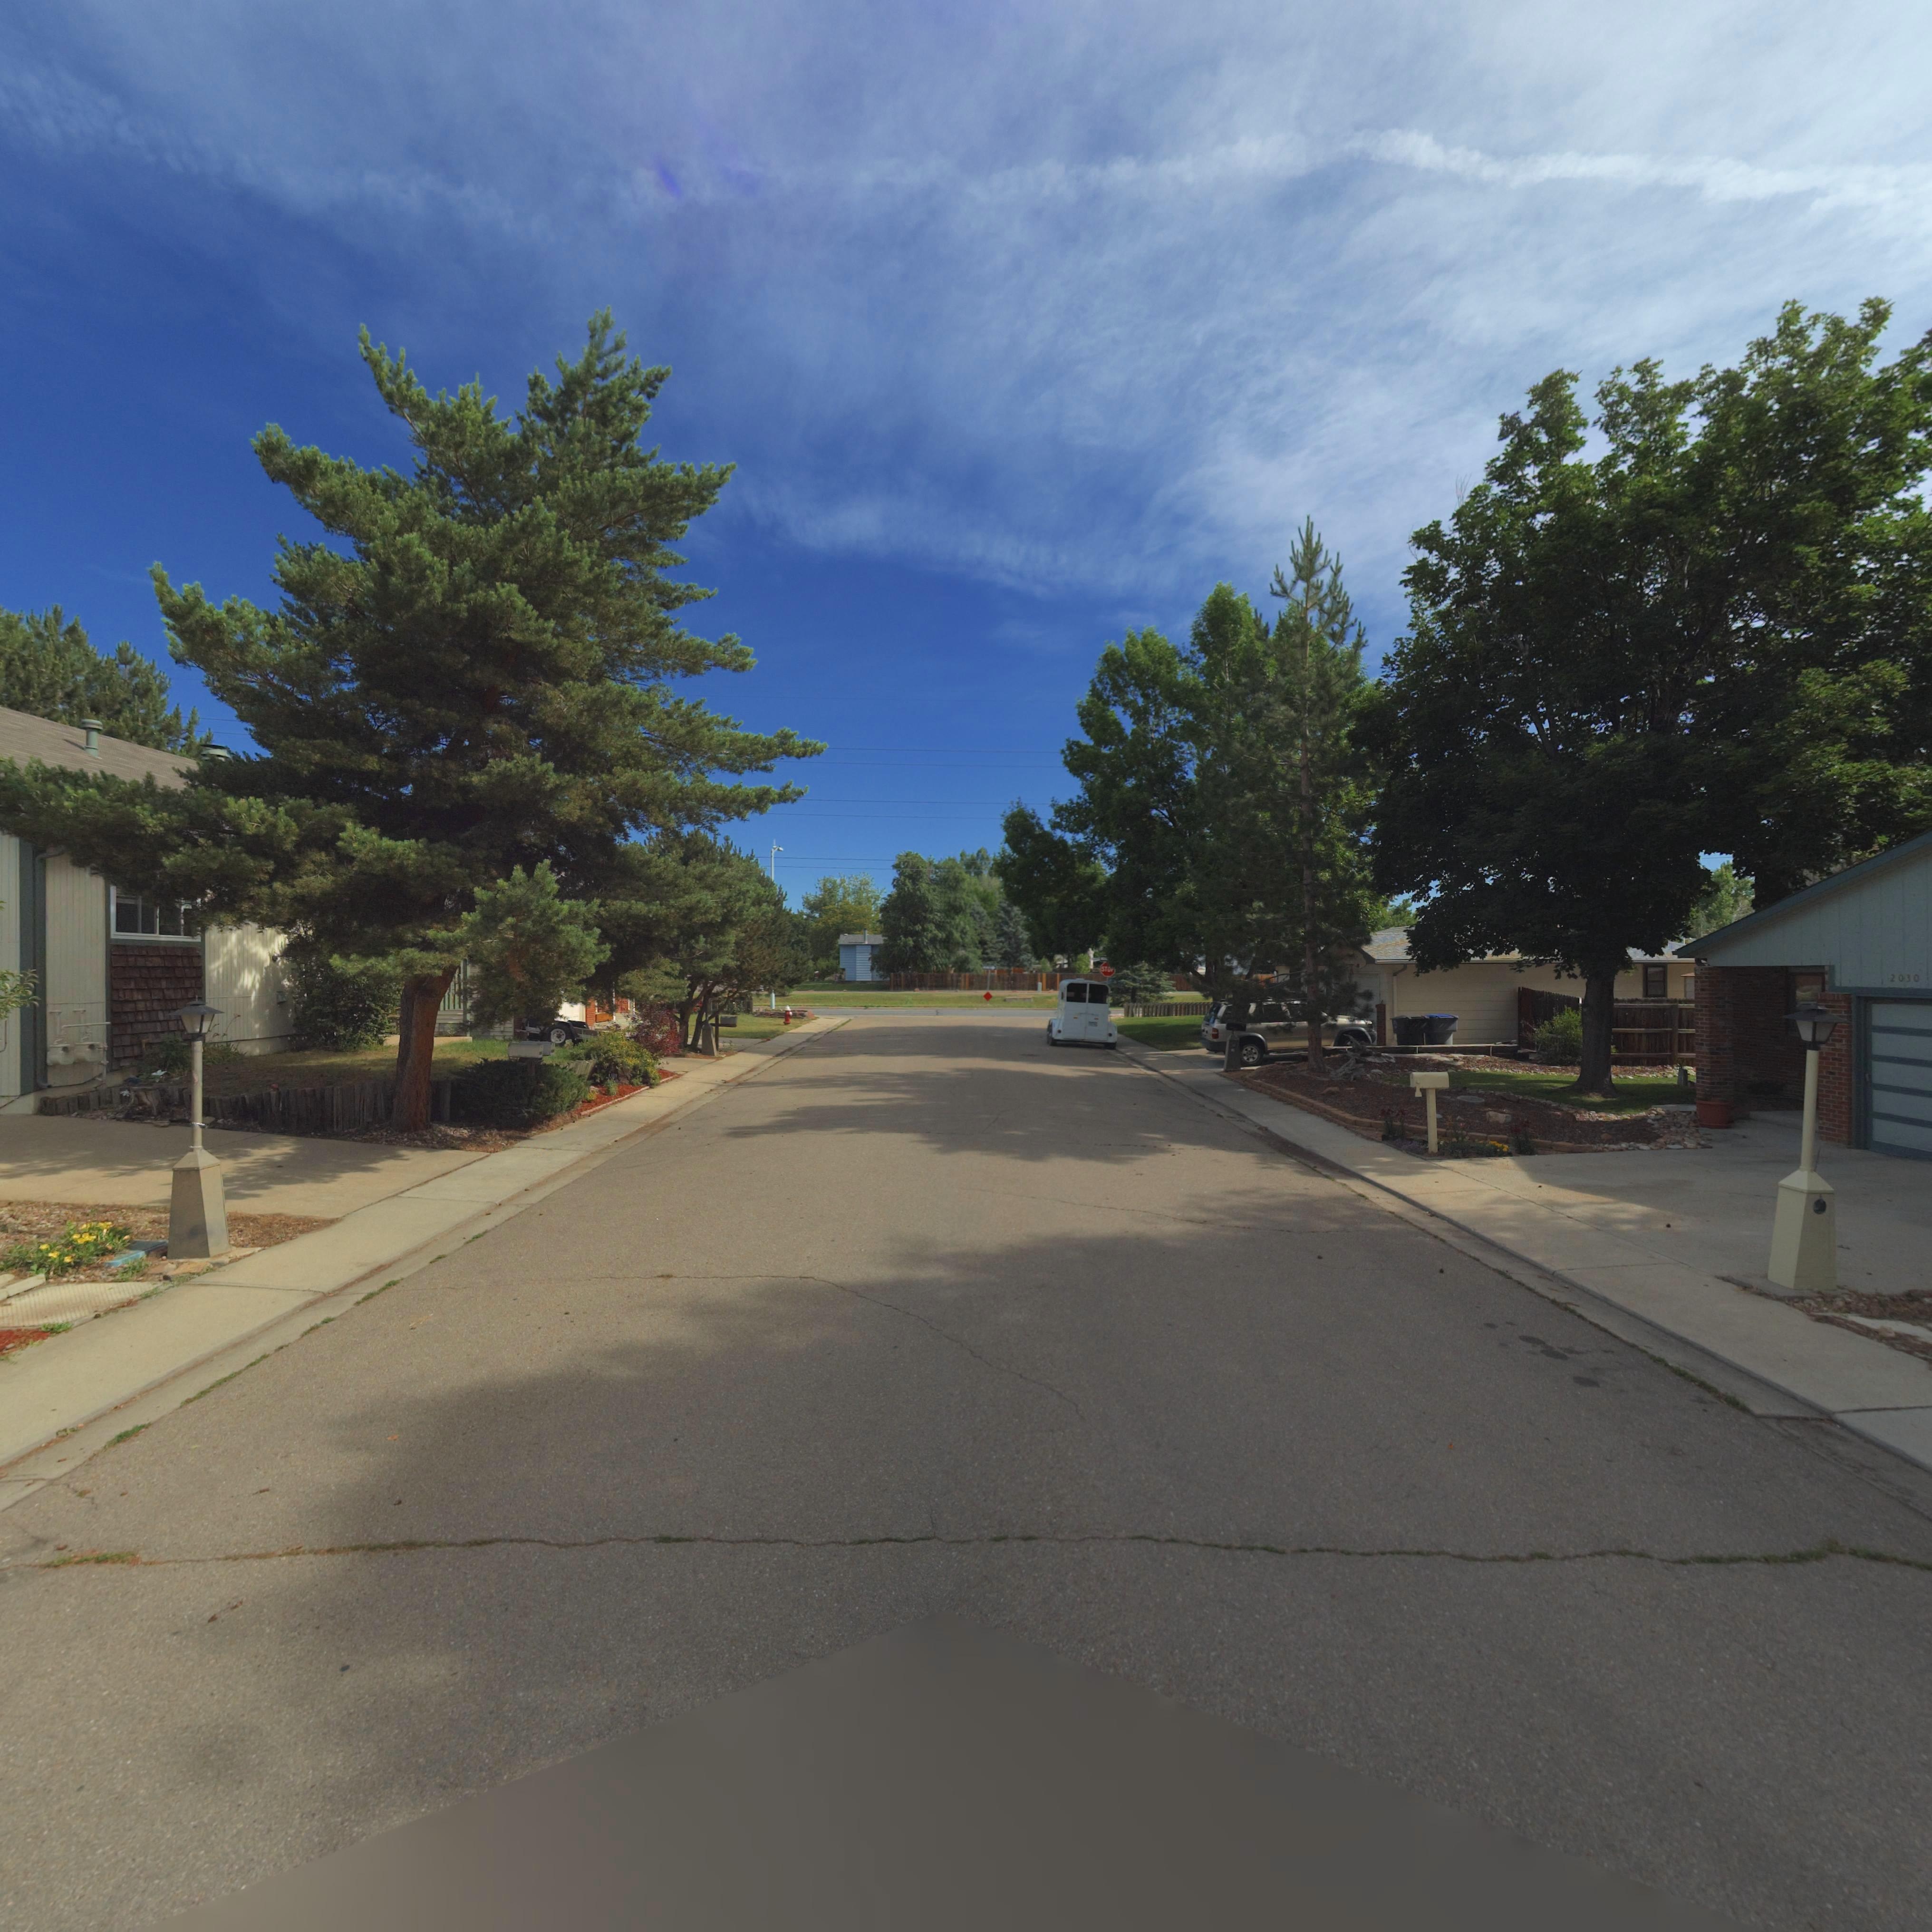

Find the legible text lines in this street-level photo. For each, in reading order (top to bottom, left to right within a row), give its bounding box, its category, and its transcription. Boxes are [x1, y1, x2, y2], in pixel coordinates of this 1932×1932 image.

[1890, 974, 1920, 983] StreetNumber: 2030